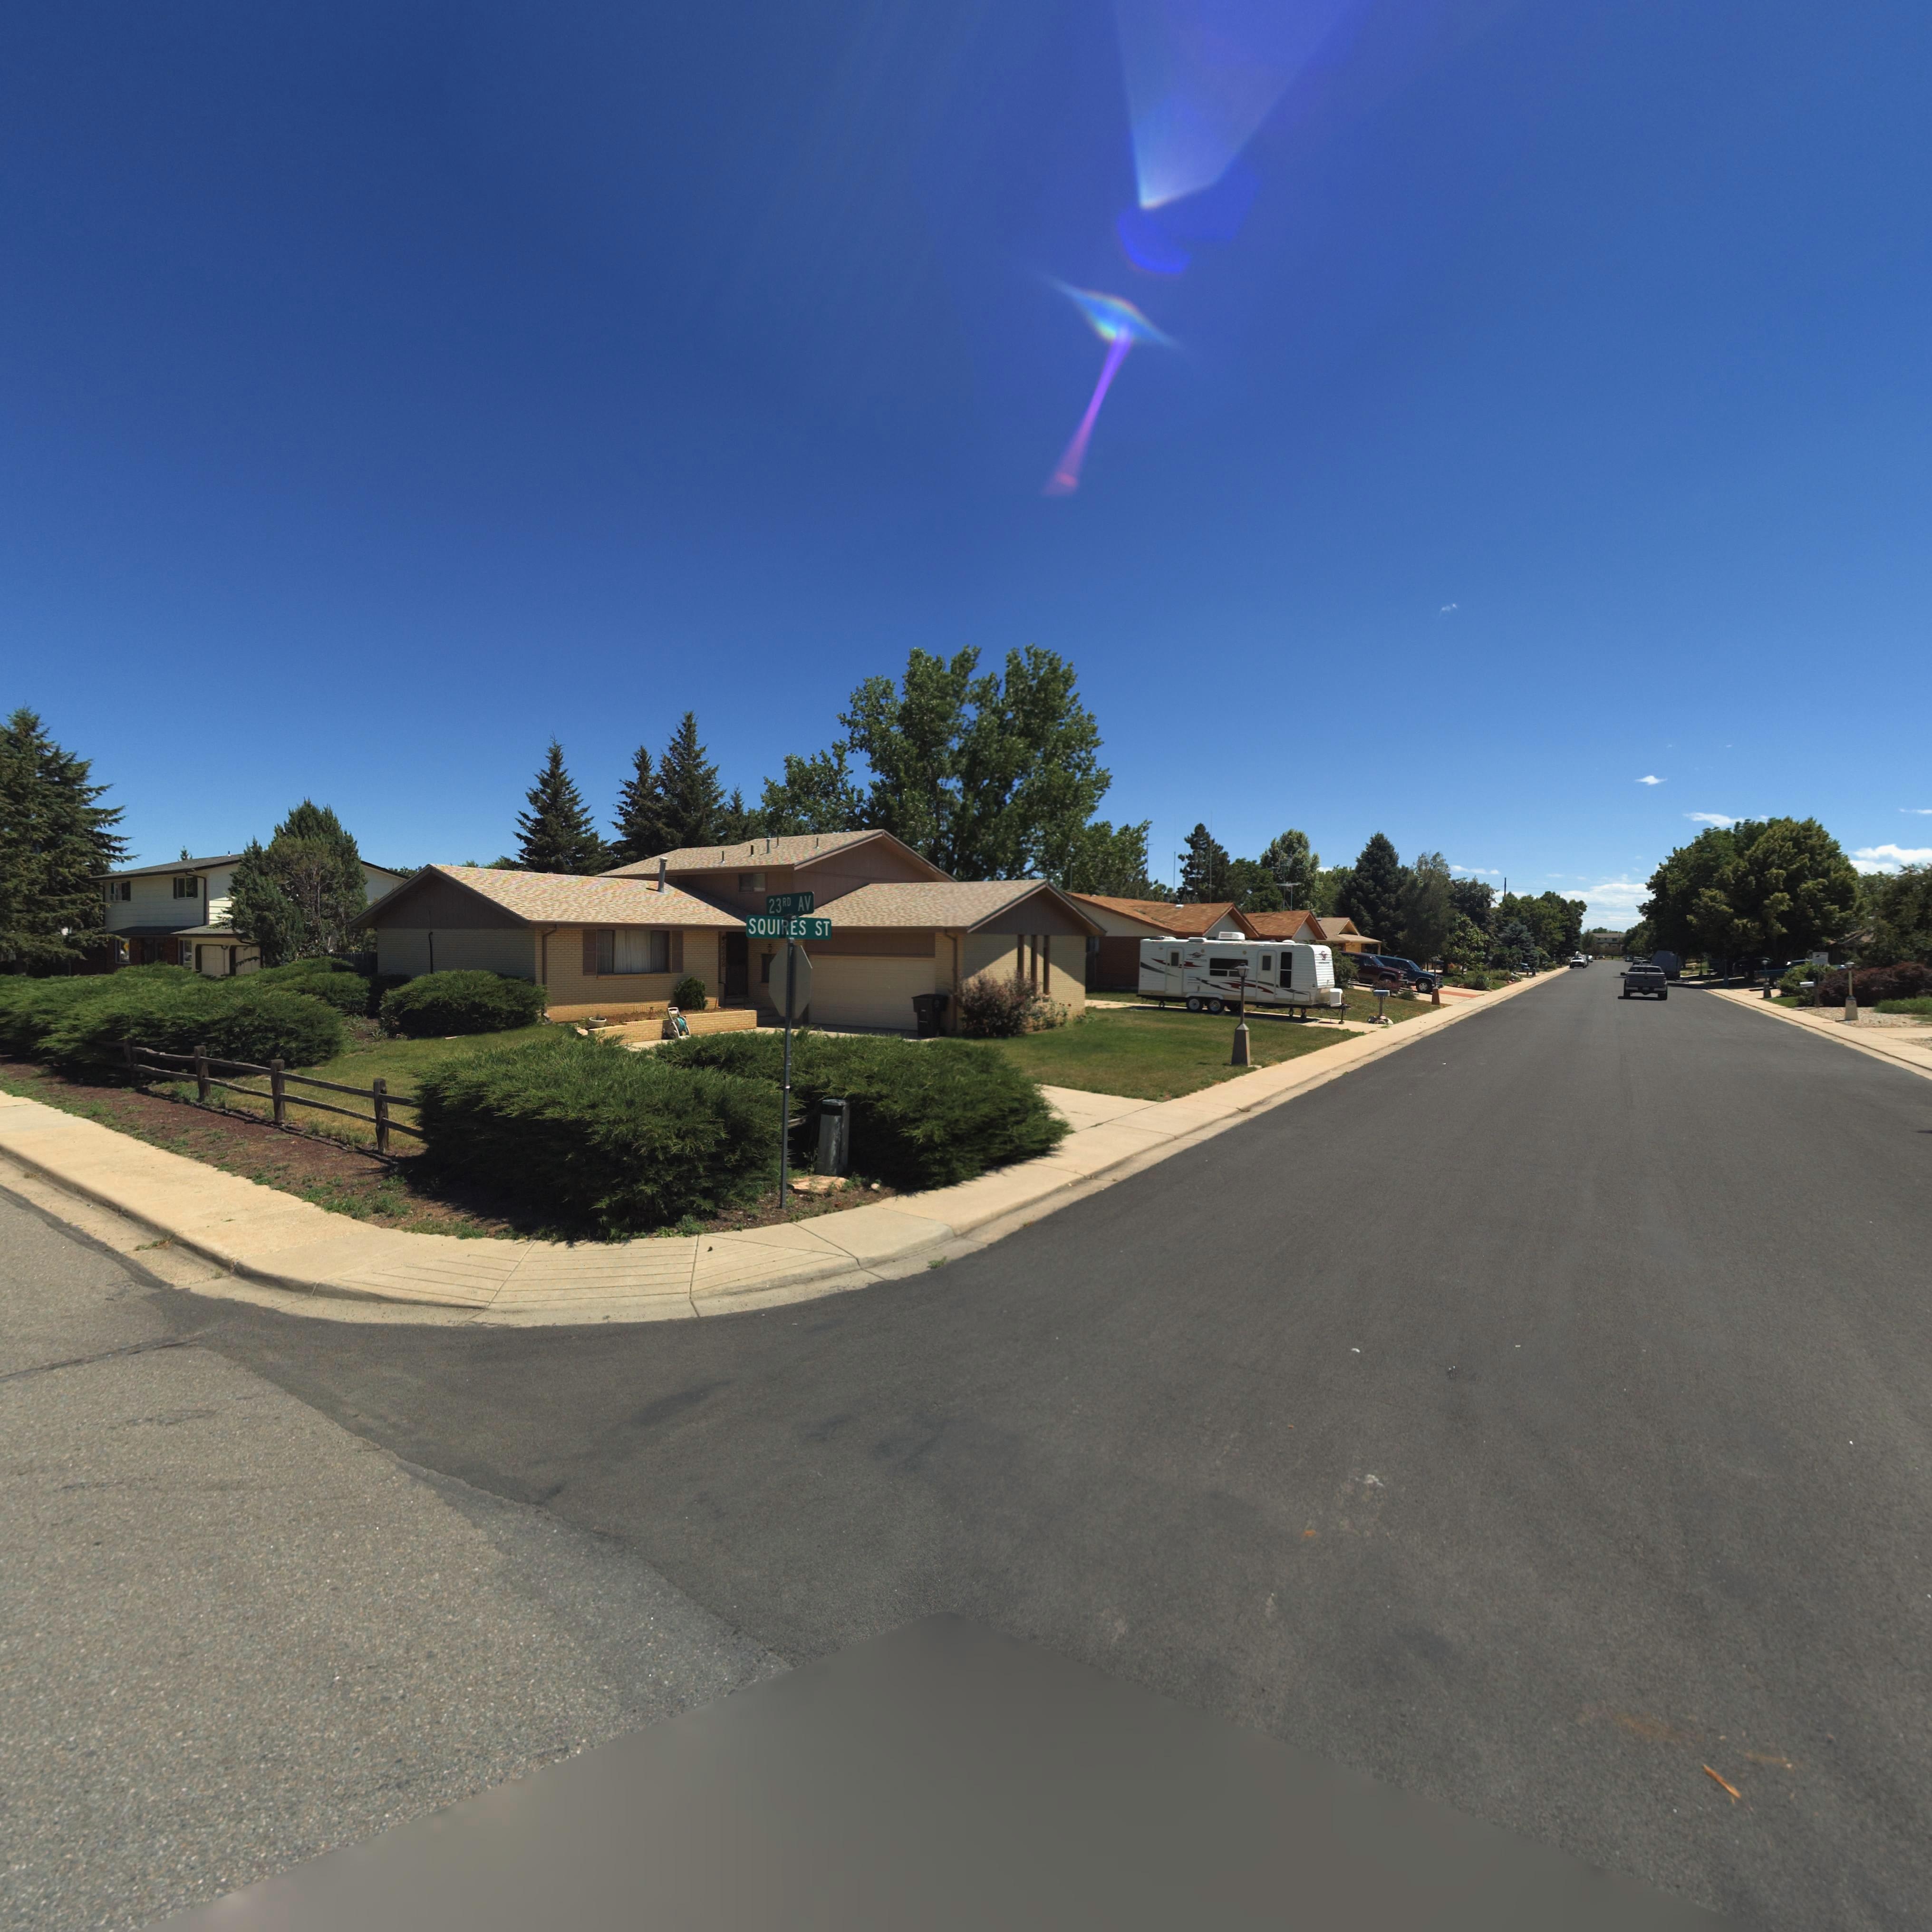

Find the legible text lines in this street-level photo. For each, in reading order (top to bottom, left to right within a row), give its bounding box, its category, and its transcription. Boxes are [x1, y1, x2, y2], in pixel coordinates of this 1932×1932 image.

[768, 895, 811, 913] StreetName: 23RD AV
[748, 918, 830, 936] StreetName: SQUIRES ST
[721, 941, 726, 968] StreetNumber: 22*8